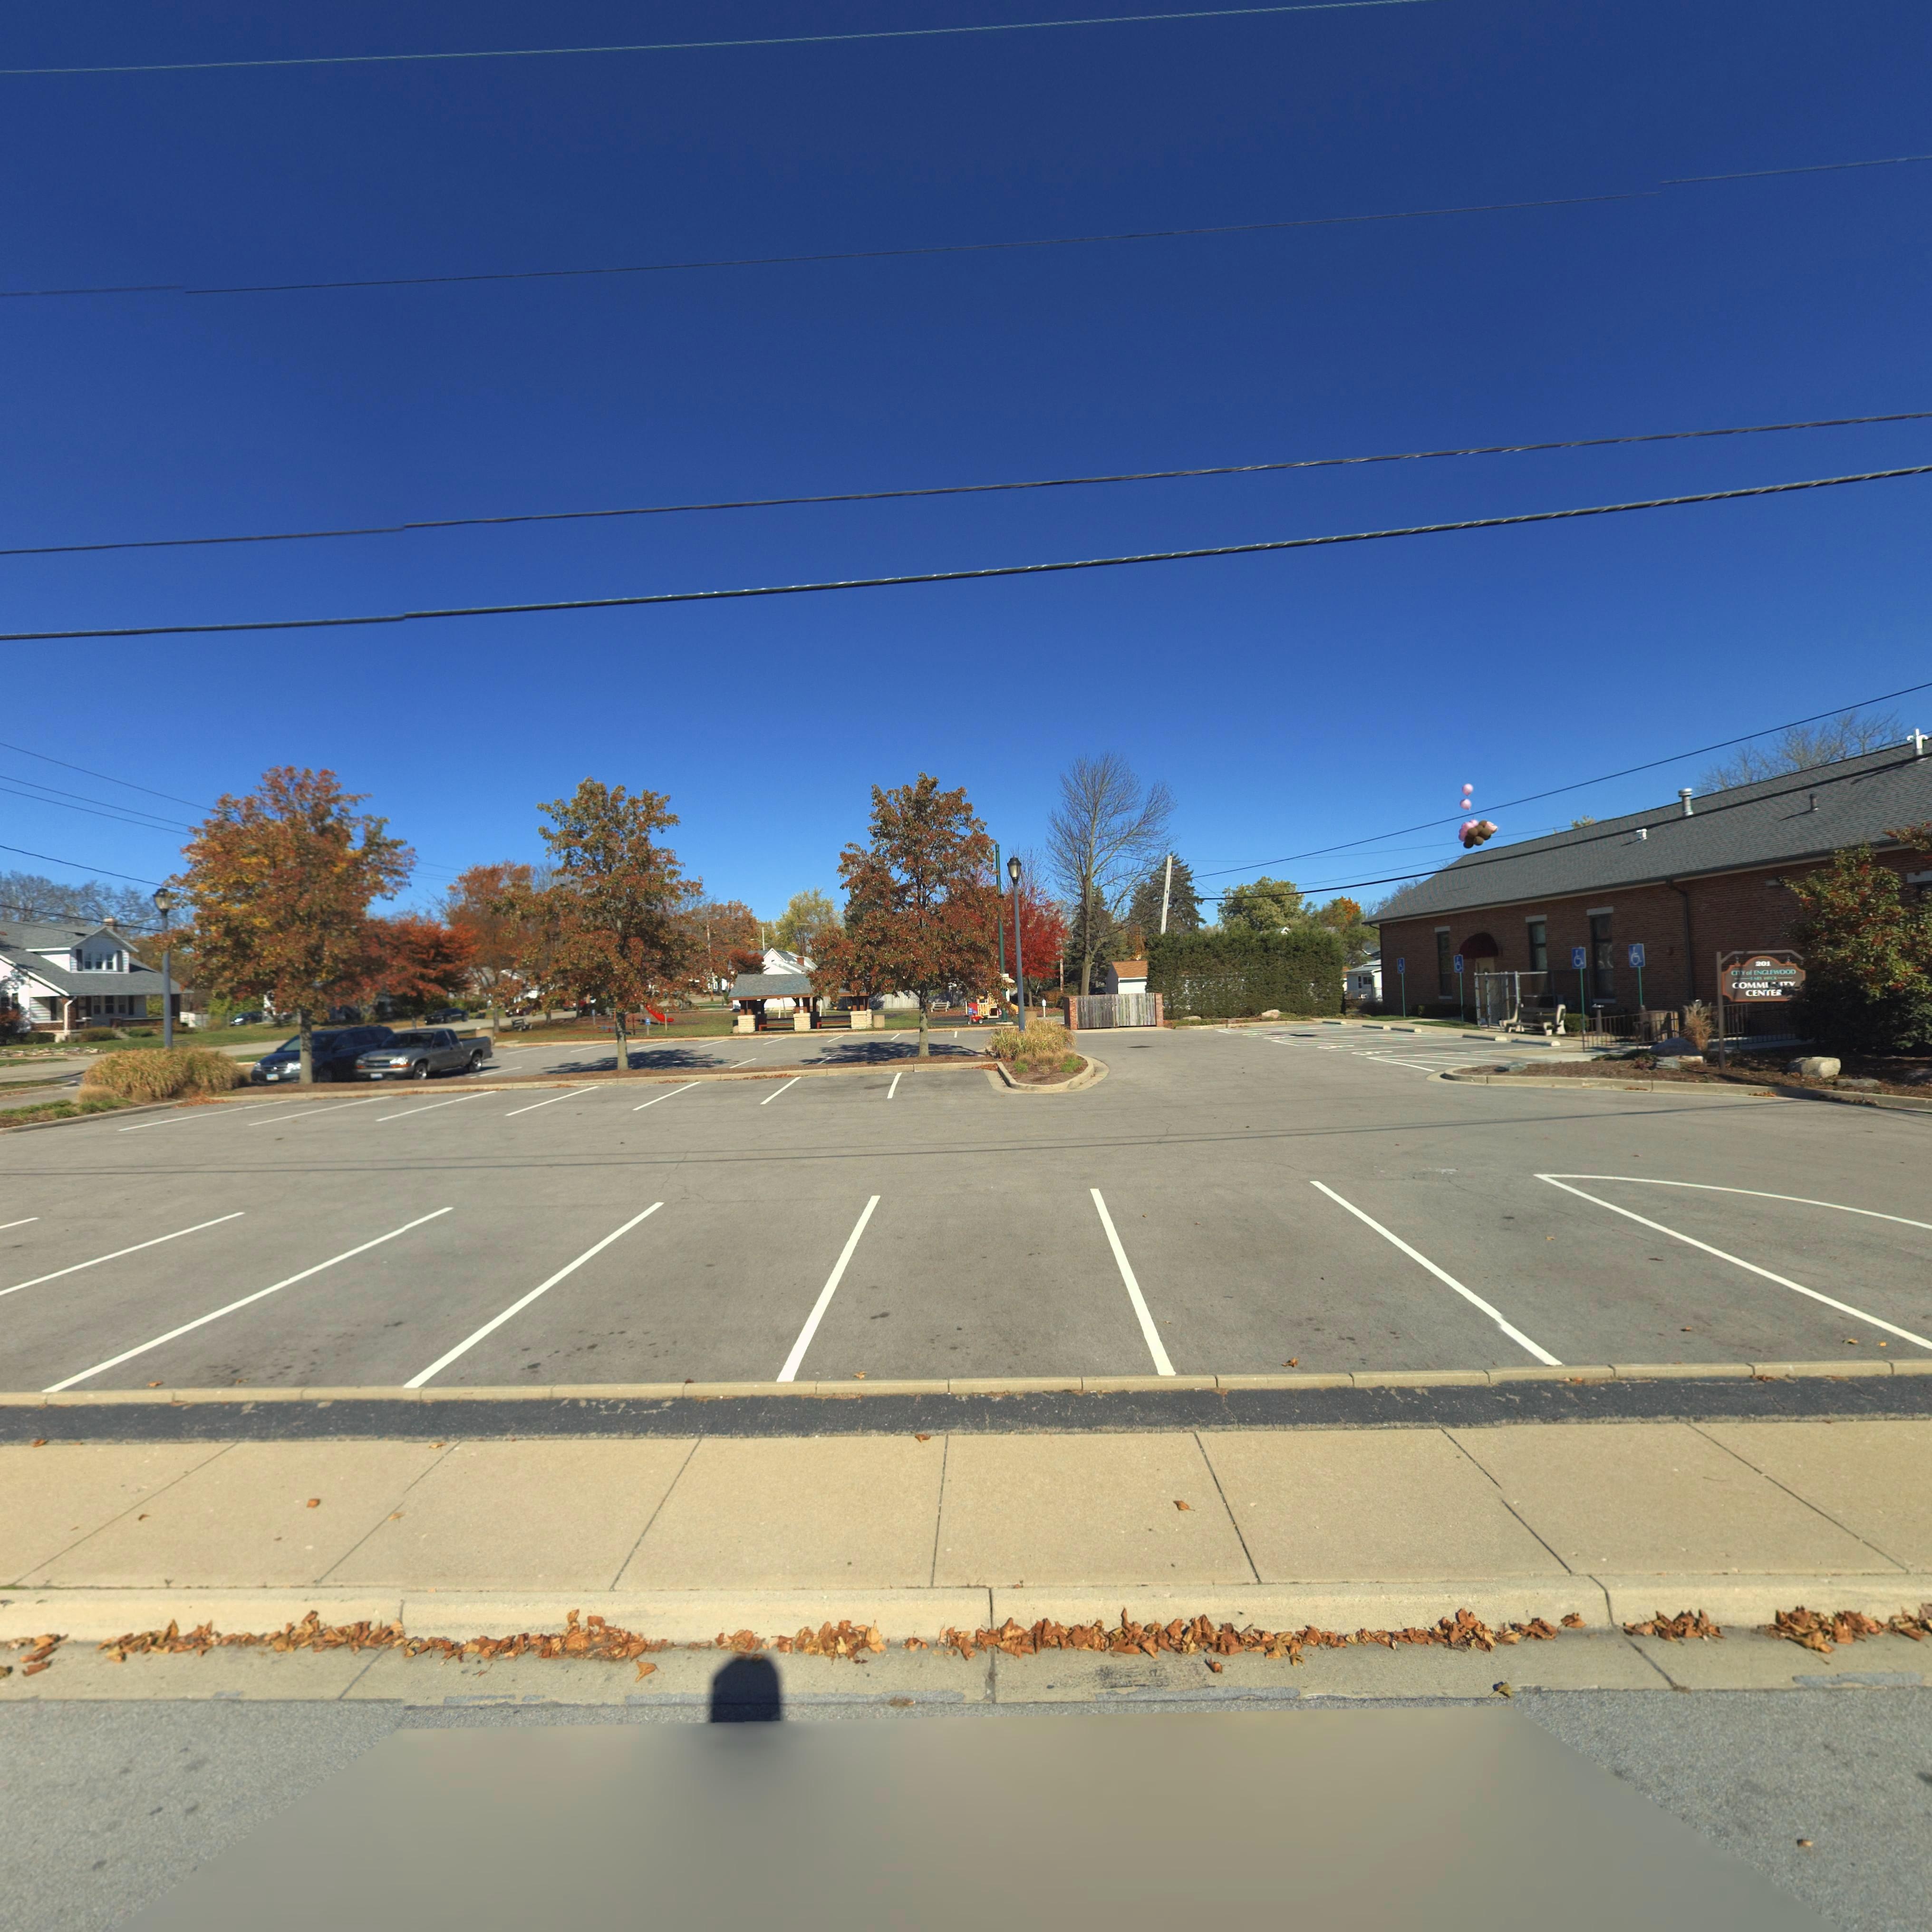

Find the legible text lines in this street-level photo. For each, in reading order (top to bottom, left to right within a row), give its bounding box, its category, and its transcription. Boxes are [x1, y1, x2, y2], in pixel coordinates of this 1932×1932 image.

[1755, 961, 1771, 966] StreetNumber: 201
[1729, 969, 1797, 976] None: CITY of ENGLEWOOD
[1731, 981, 1766, 990] None: COMM
[1744, 989, 1777, 997] None: CENTE